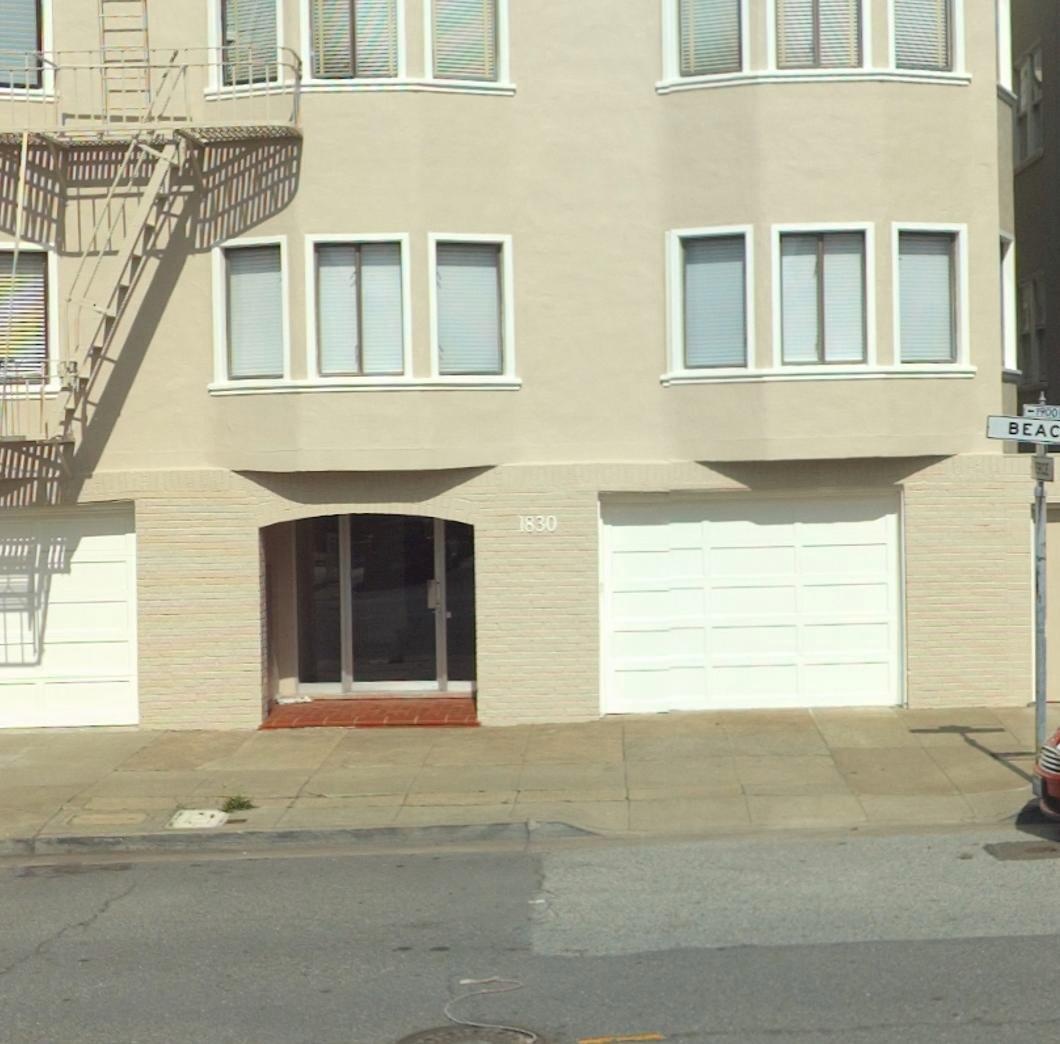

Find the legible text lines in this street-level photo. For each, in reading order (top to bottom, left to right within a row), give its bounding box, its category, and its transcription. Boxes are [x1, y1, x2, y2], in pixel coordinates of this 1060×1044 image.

[1024, 405, 1060, 419] StreetNumberRange: <-1900
[1006, 419, 1060, 440] StreetName: BEAC
[517, 514, 559, 535] StreetNumber: 1830